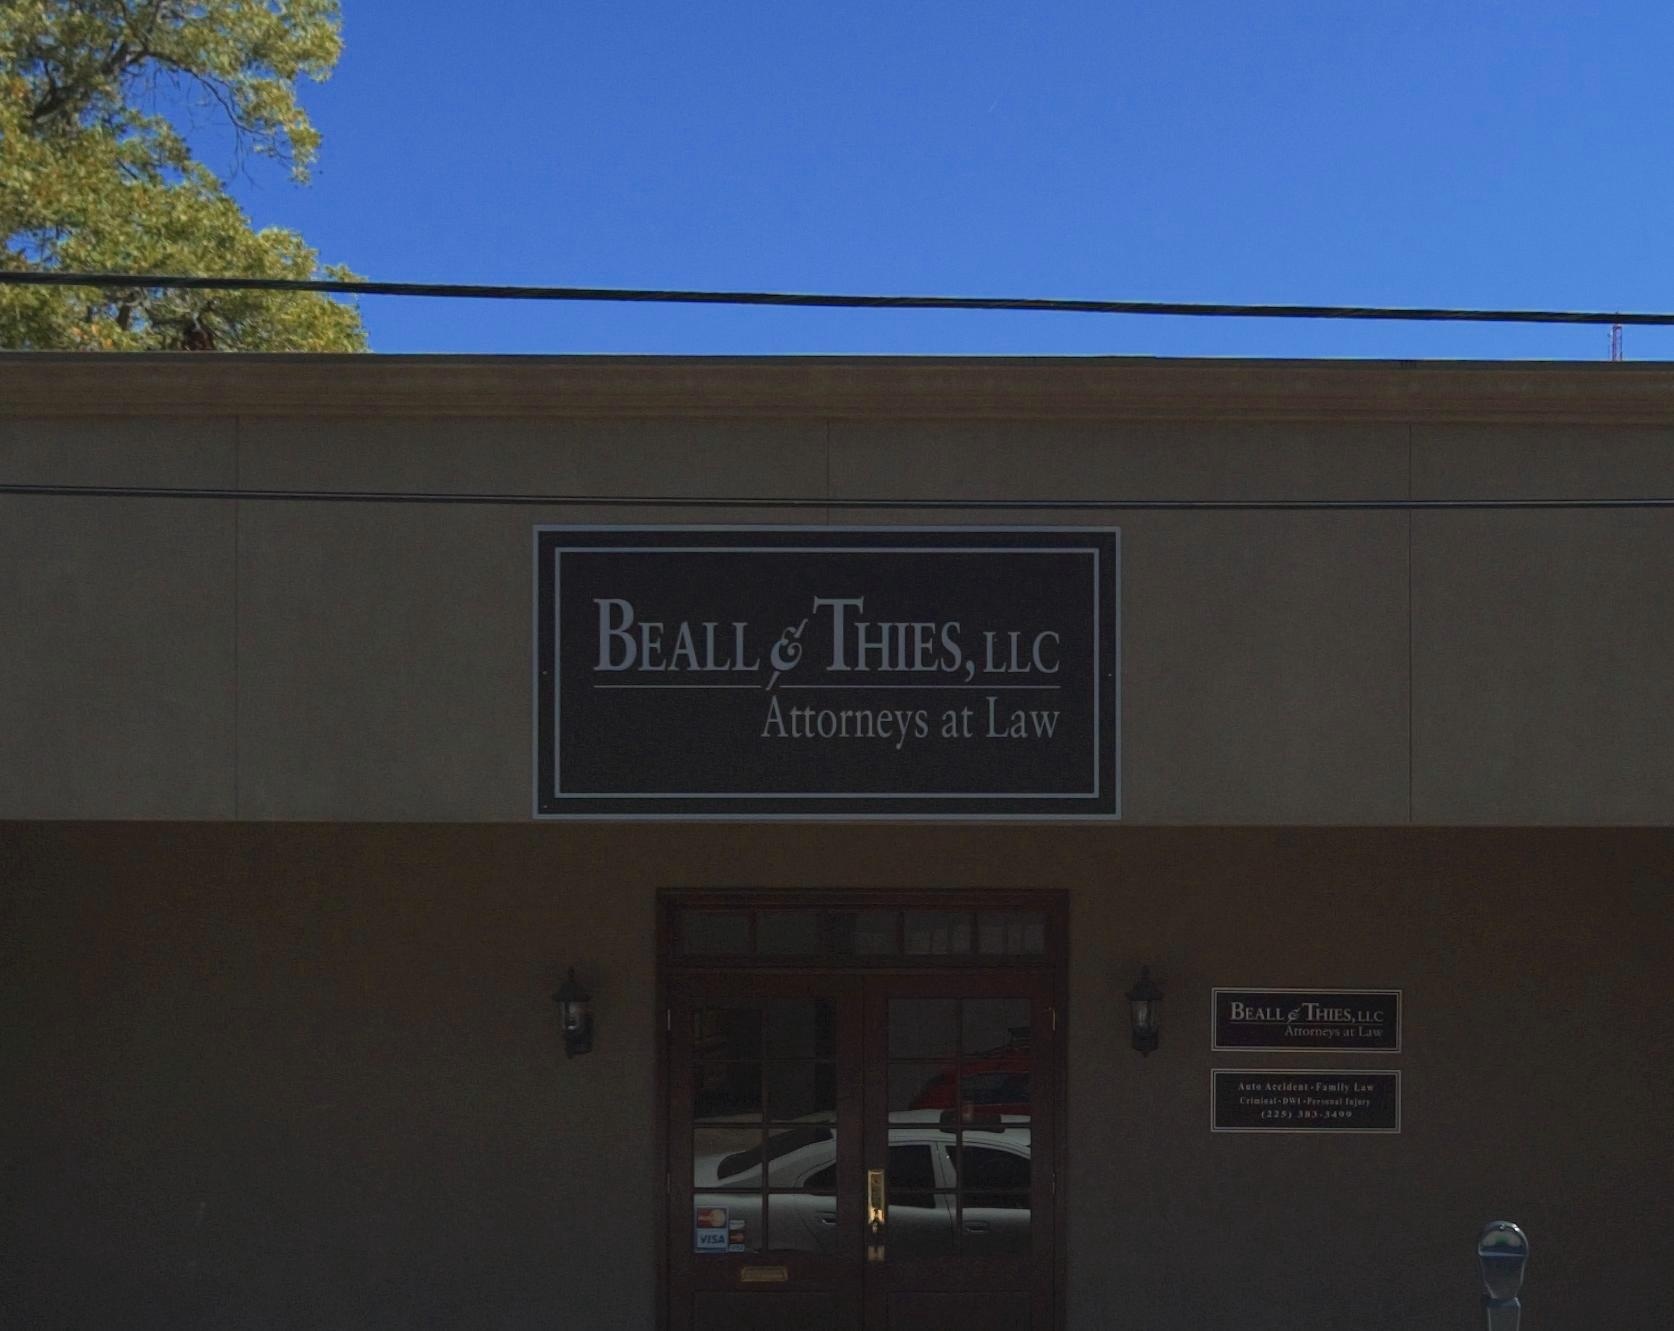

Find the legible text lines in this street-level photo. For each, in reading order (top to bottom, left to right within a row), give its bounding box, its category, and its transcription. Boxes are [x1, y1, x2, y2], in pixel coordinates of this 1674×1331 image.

[586, 589, 1064, 688] BusinessName: BEALL & THIES, LLC
[752, 689, 1069, 755] None: Attorneys at Law
[1227, 999, 1386, 1025] BusinessName: BEALL & THIES, LLC
[1282, 1023, 1386, 1042] None: Attorneys at Law
[1233, 1078, 1376, 1096] None: Auto Accident * family Law
[1256, 1107, 1355, 1122] None: (225) 383-3499
[696, 1231, 728, 1247] BusinessName: *ISA